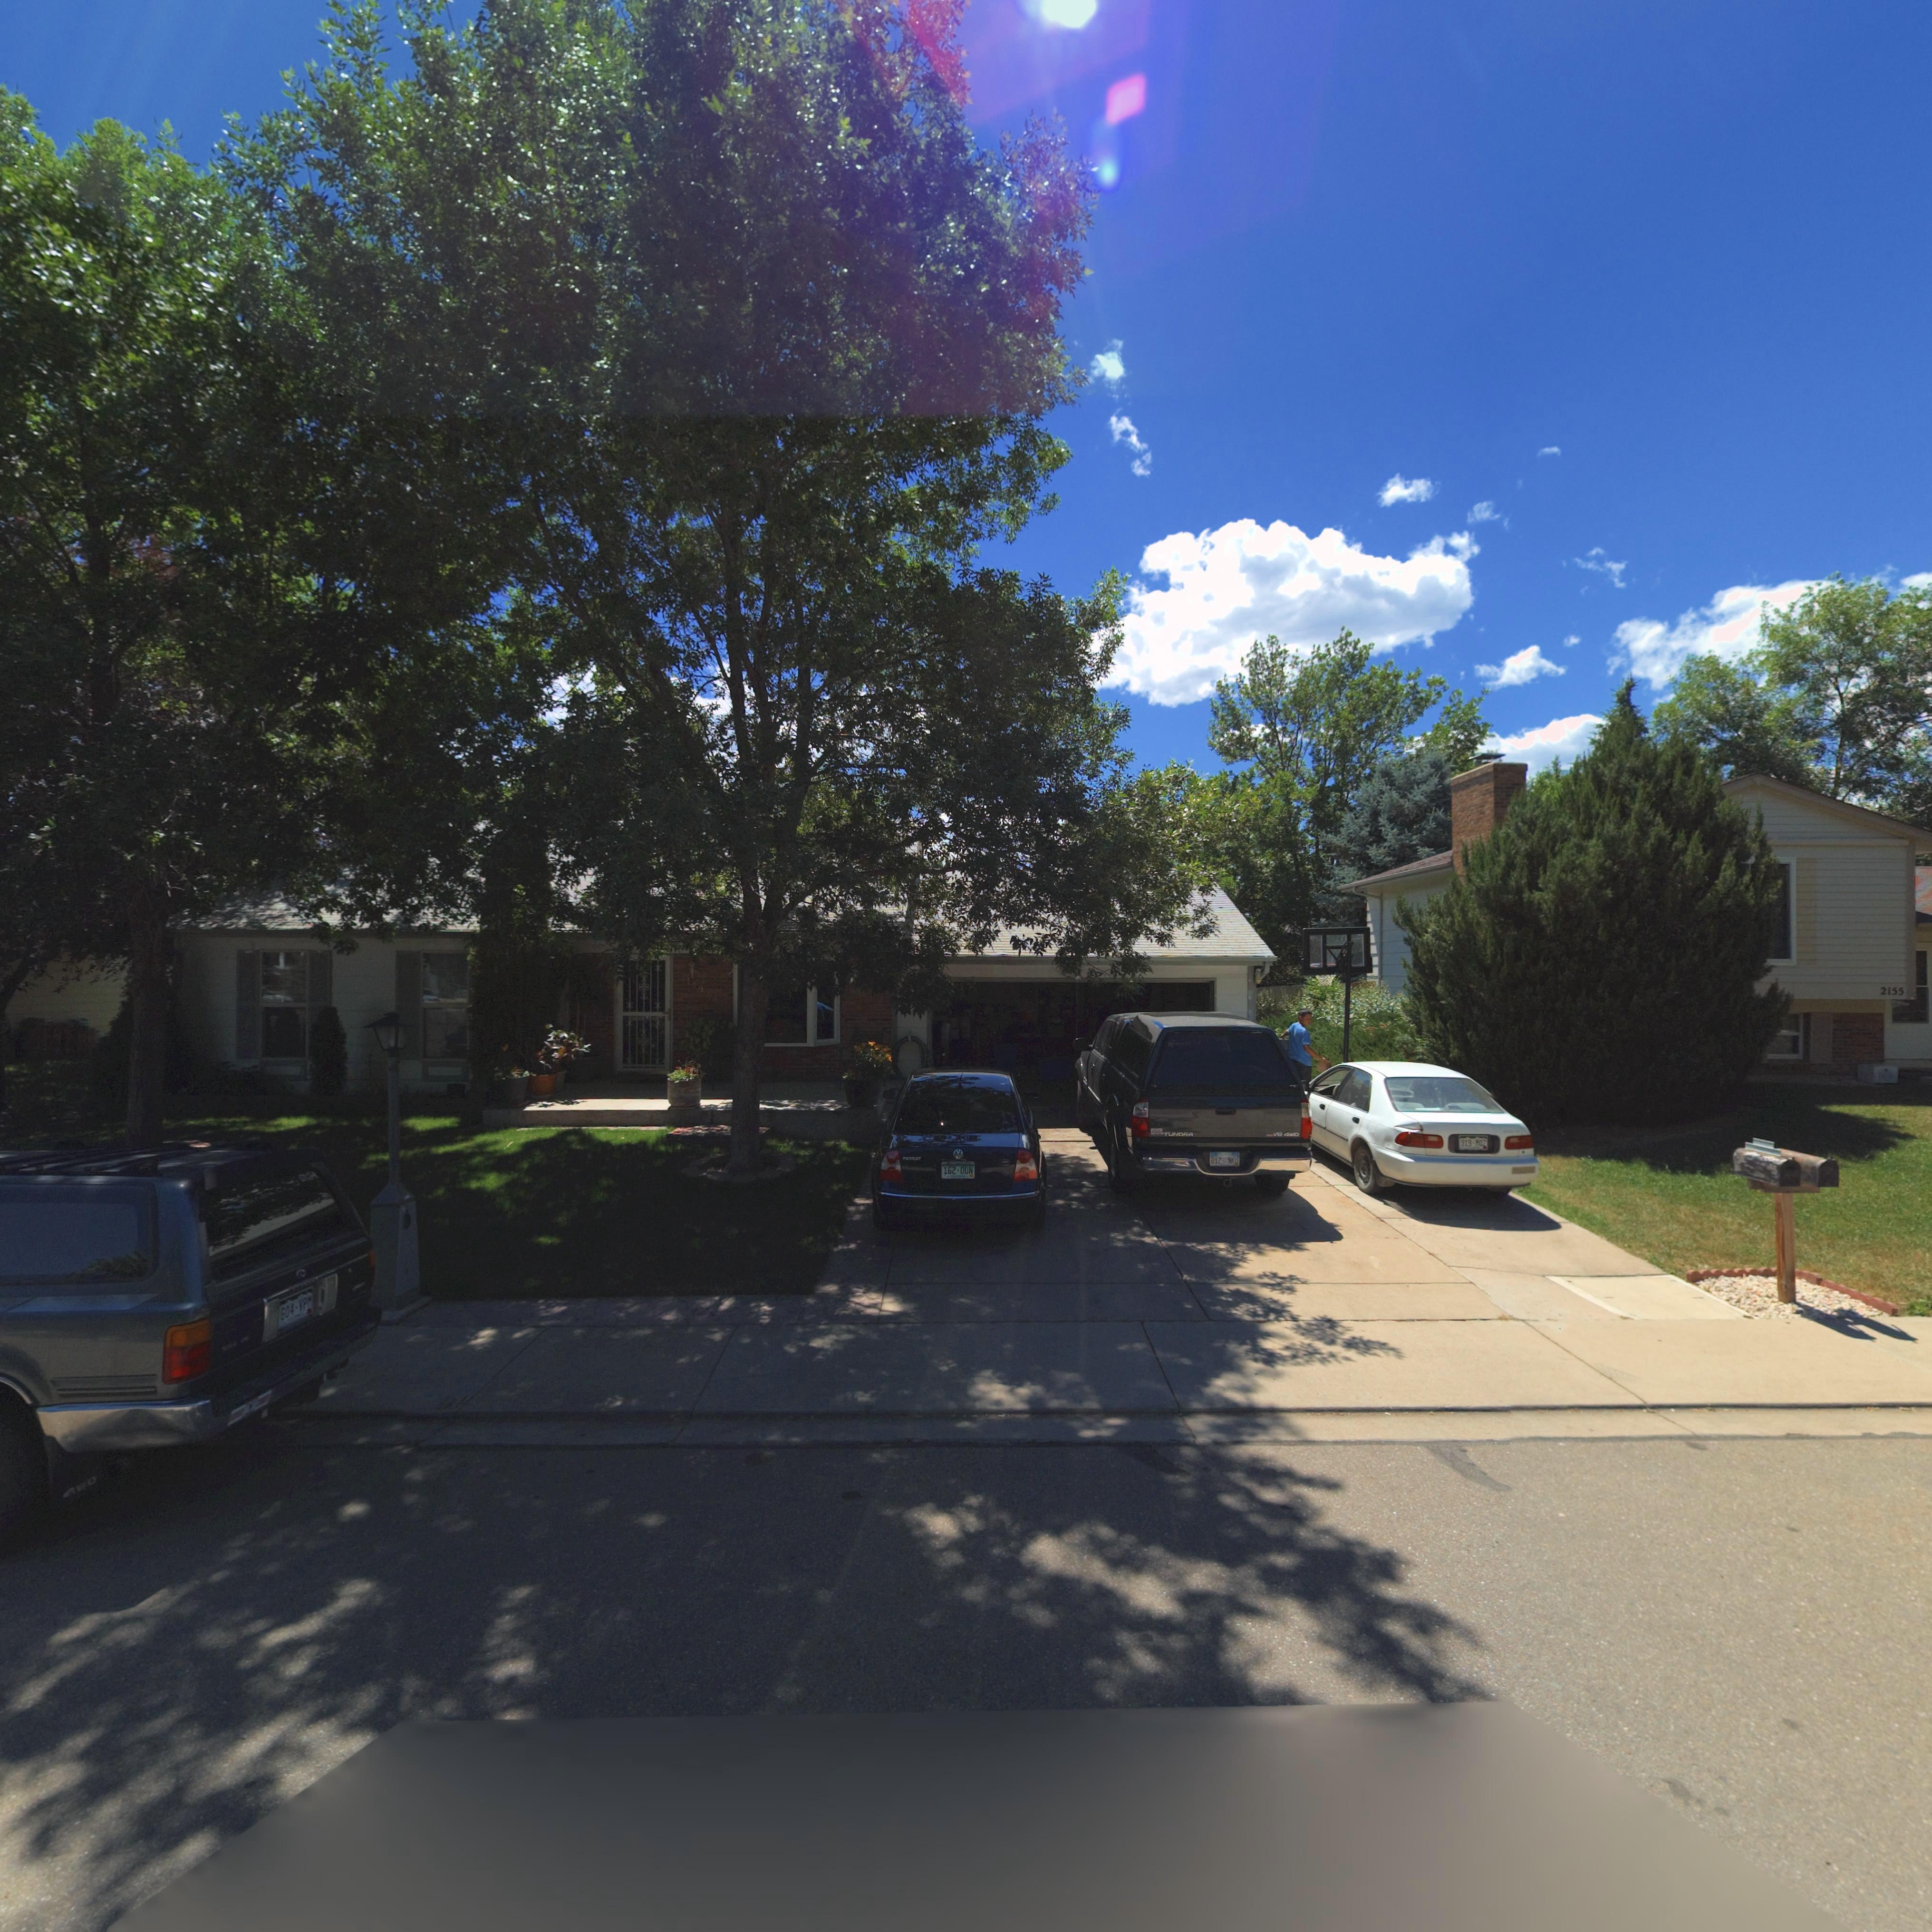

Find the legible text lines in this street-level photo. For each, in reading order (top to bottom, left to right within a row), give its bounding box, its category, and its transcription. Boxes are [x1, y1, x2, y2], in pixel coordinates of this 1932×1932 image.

[679, 973, 704, 993] StreetNumber: 2149
[1880, 986, 1904, 995] StreetNumber: 2155